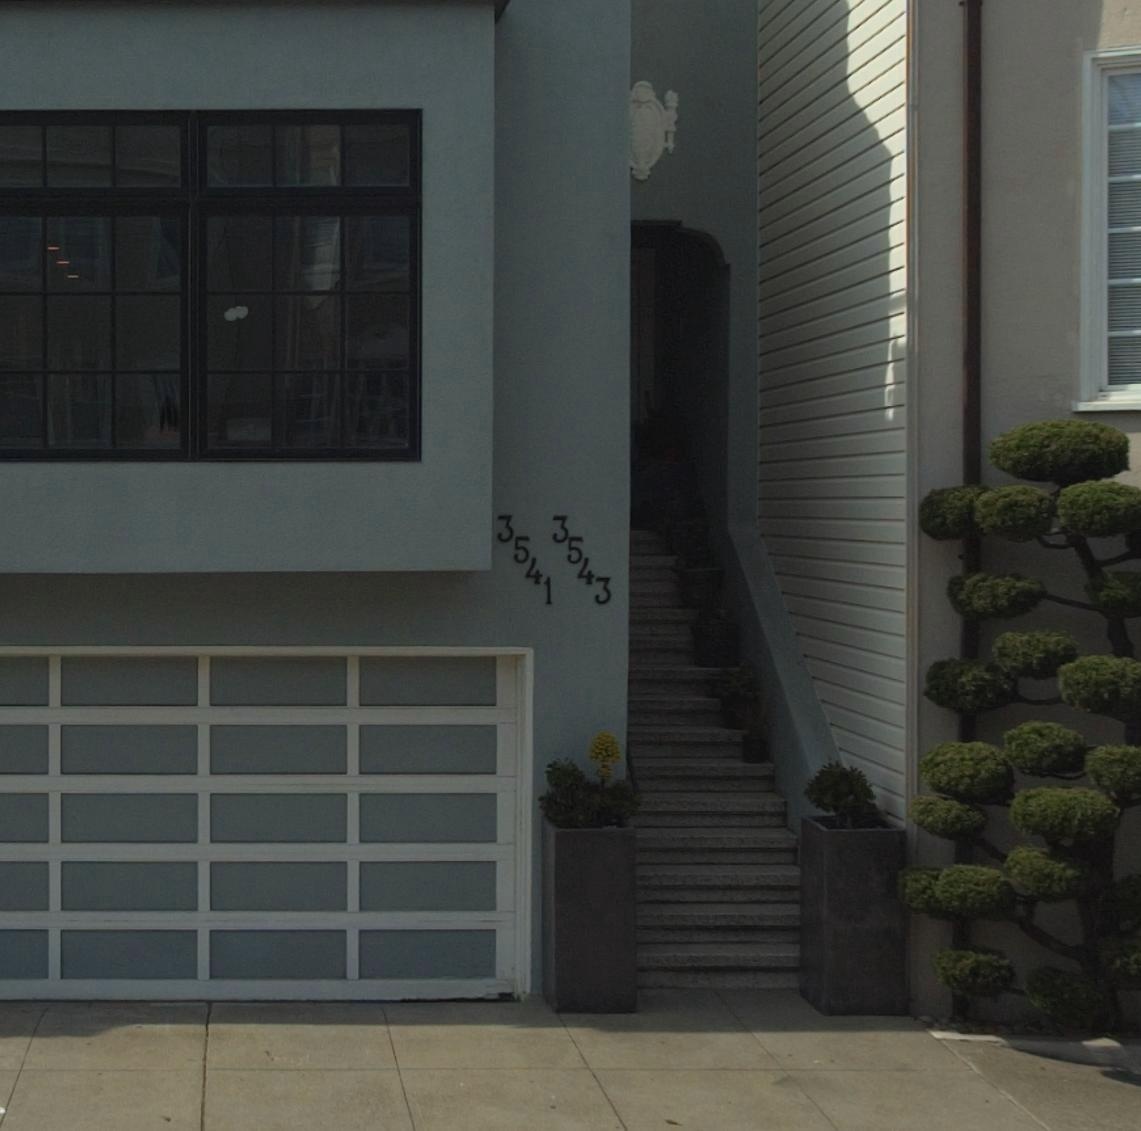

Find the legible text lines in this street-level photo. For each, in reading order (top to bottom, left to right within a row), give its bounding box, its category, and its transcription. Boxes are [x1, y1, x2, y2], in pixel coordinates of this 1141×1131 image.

[493, 510, 556, 611] StreetNumber: 3541
[548, 512, 616, 609] StreetNumber: 3543